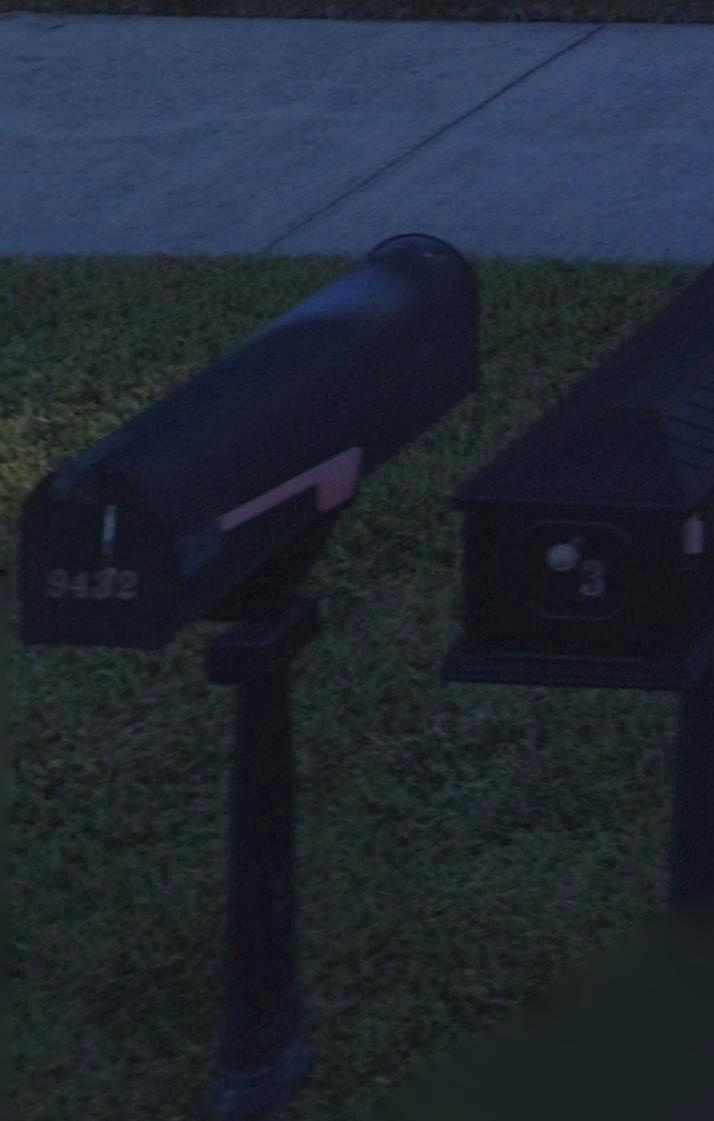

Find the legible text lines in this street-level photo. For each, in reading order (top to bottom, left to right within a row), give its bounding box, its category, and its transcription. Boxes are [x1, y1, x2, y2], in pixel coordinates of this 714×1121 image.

[42, 565, 141, 601] StreetNumber: 9432
[577, 558, 608, 599] StreetNumber: 3